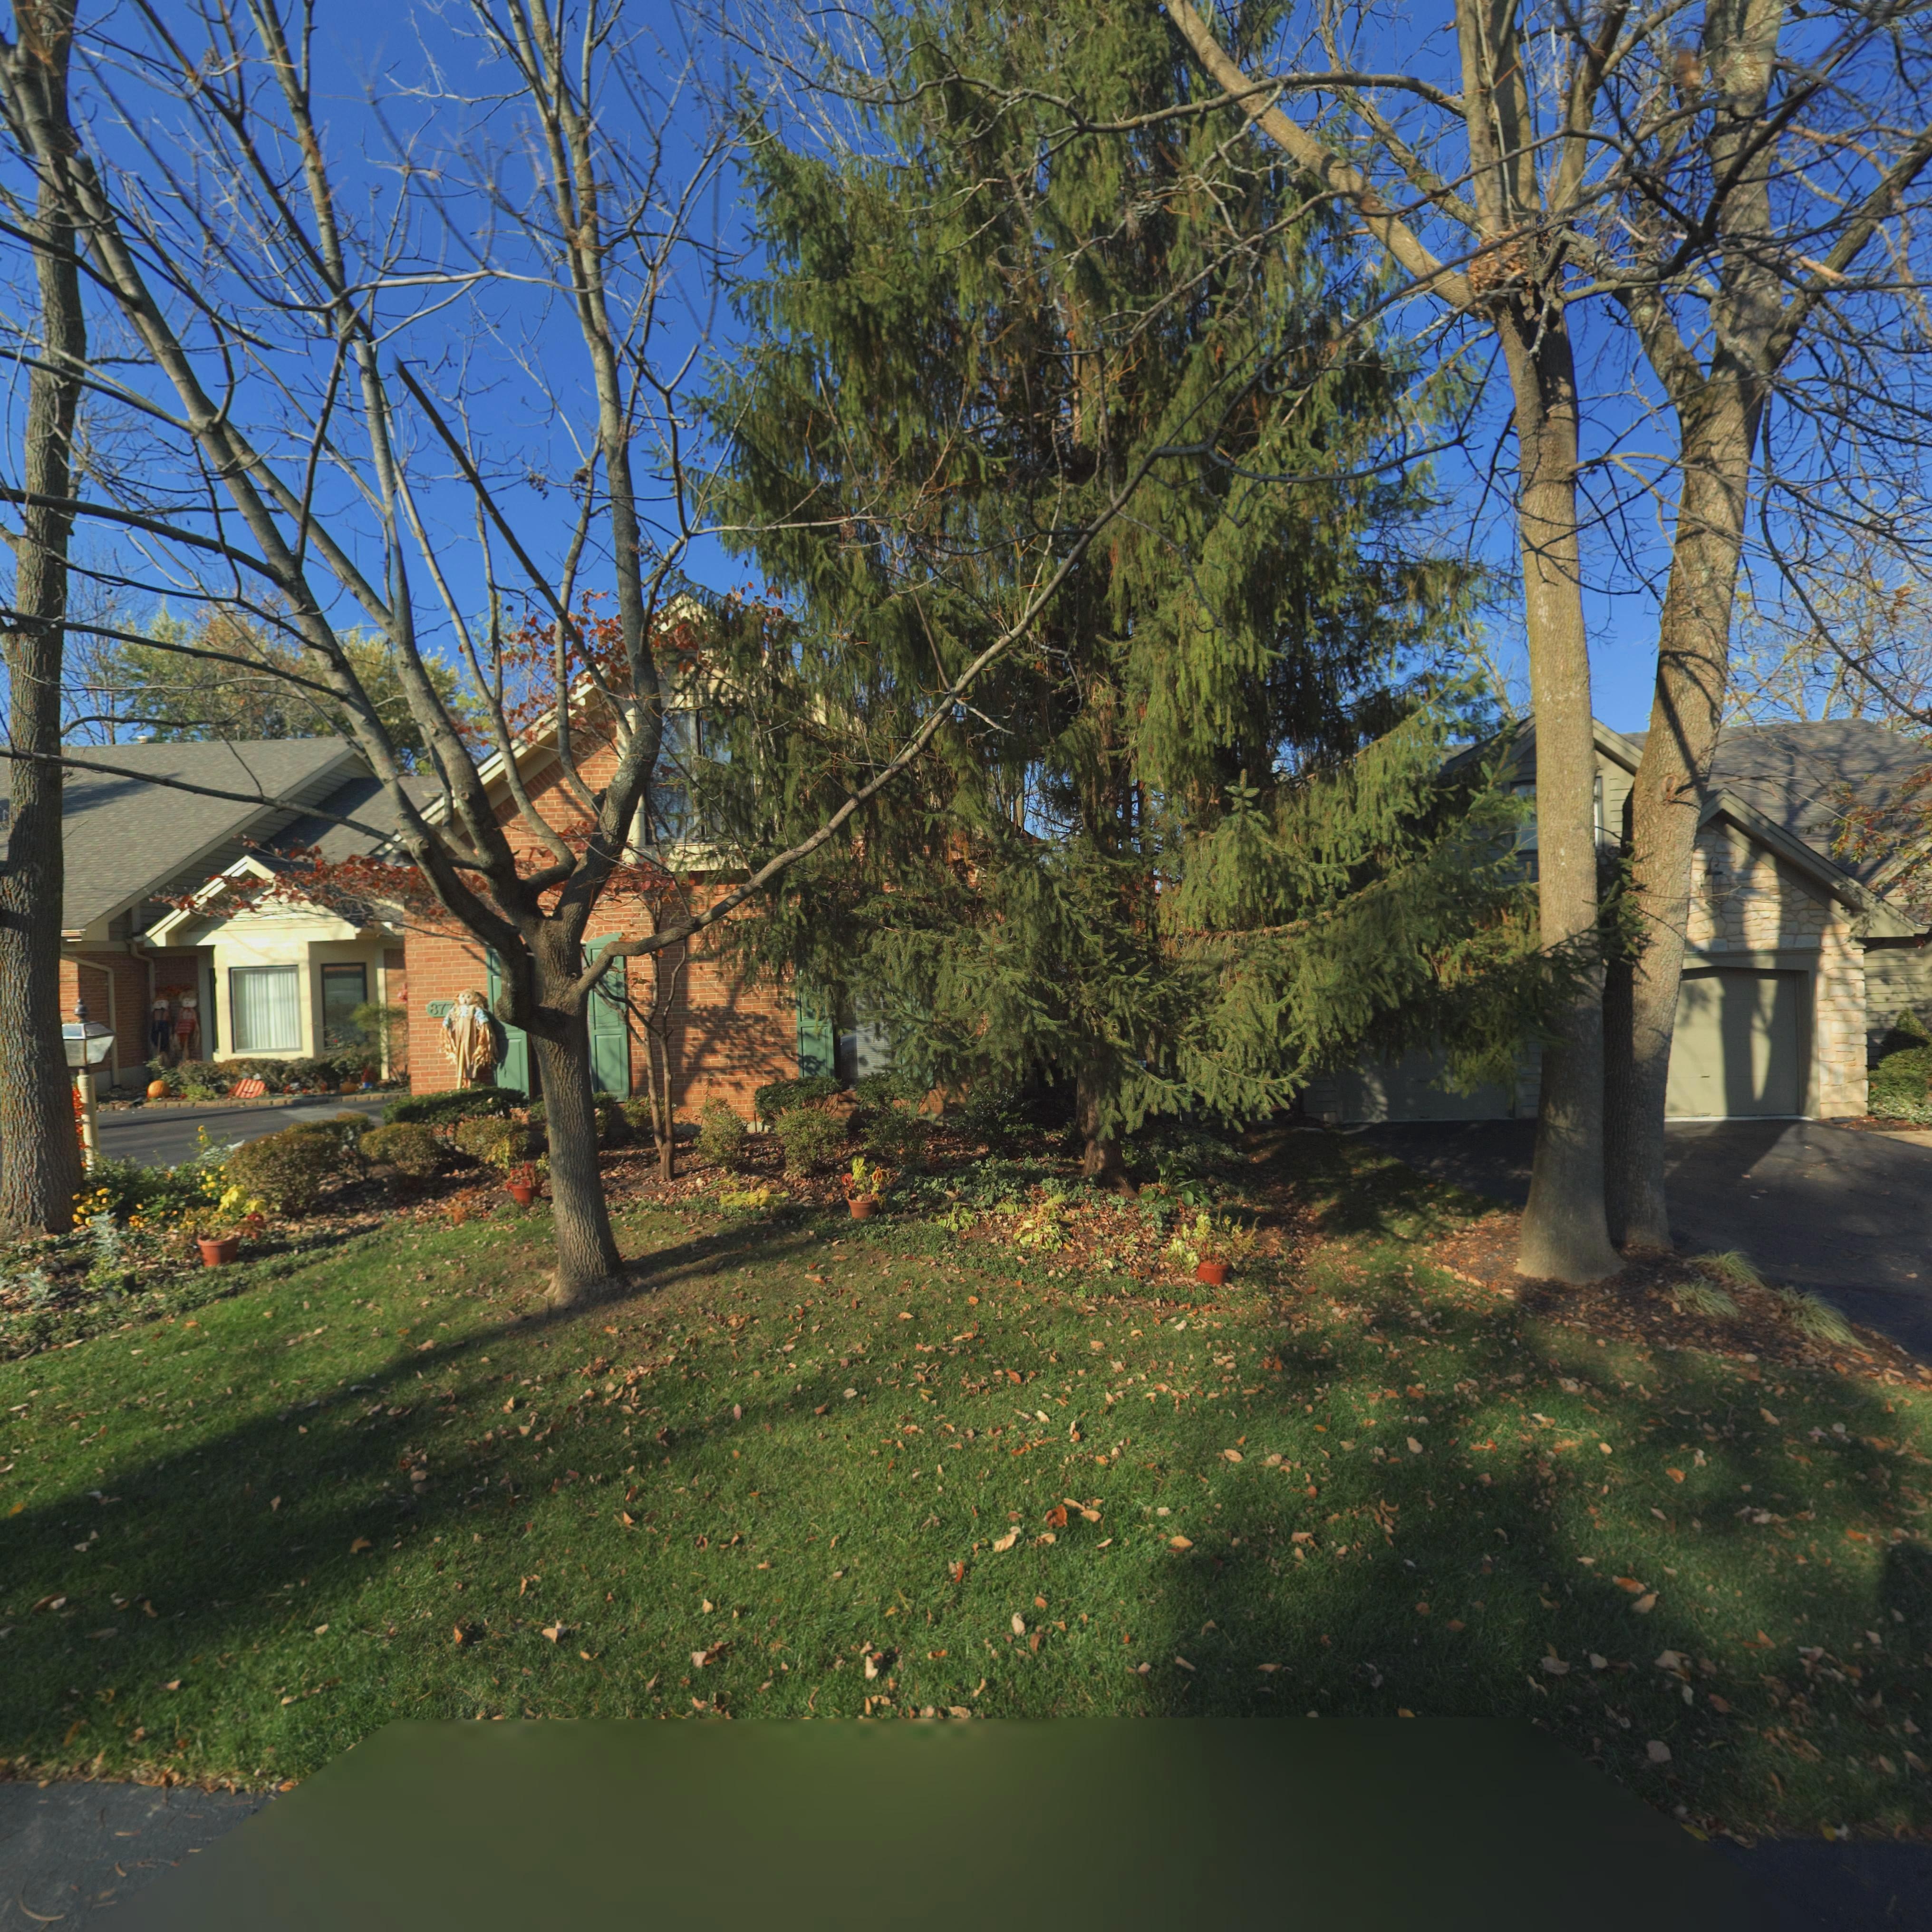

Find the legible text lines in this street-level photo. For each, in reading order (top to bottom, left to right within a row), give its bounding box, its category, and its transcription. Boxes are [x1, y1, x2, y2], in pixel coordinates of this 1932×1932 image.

[427, 1001, 447, 1016] StreetNumber: 87